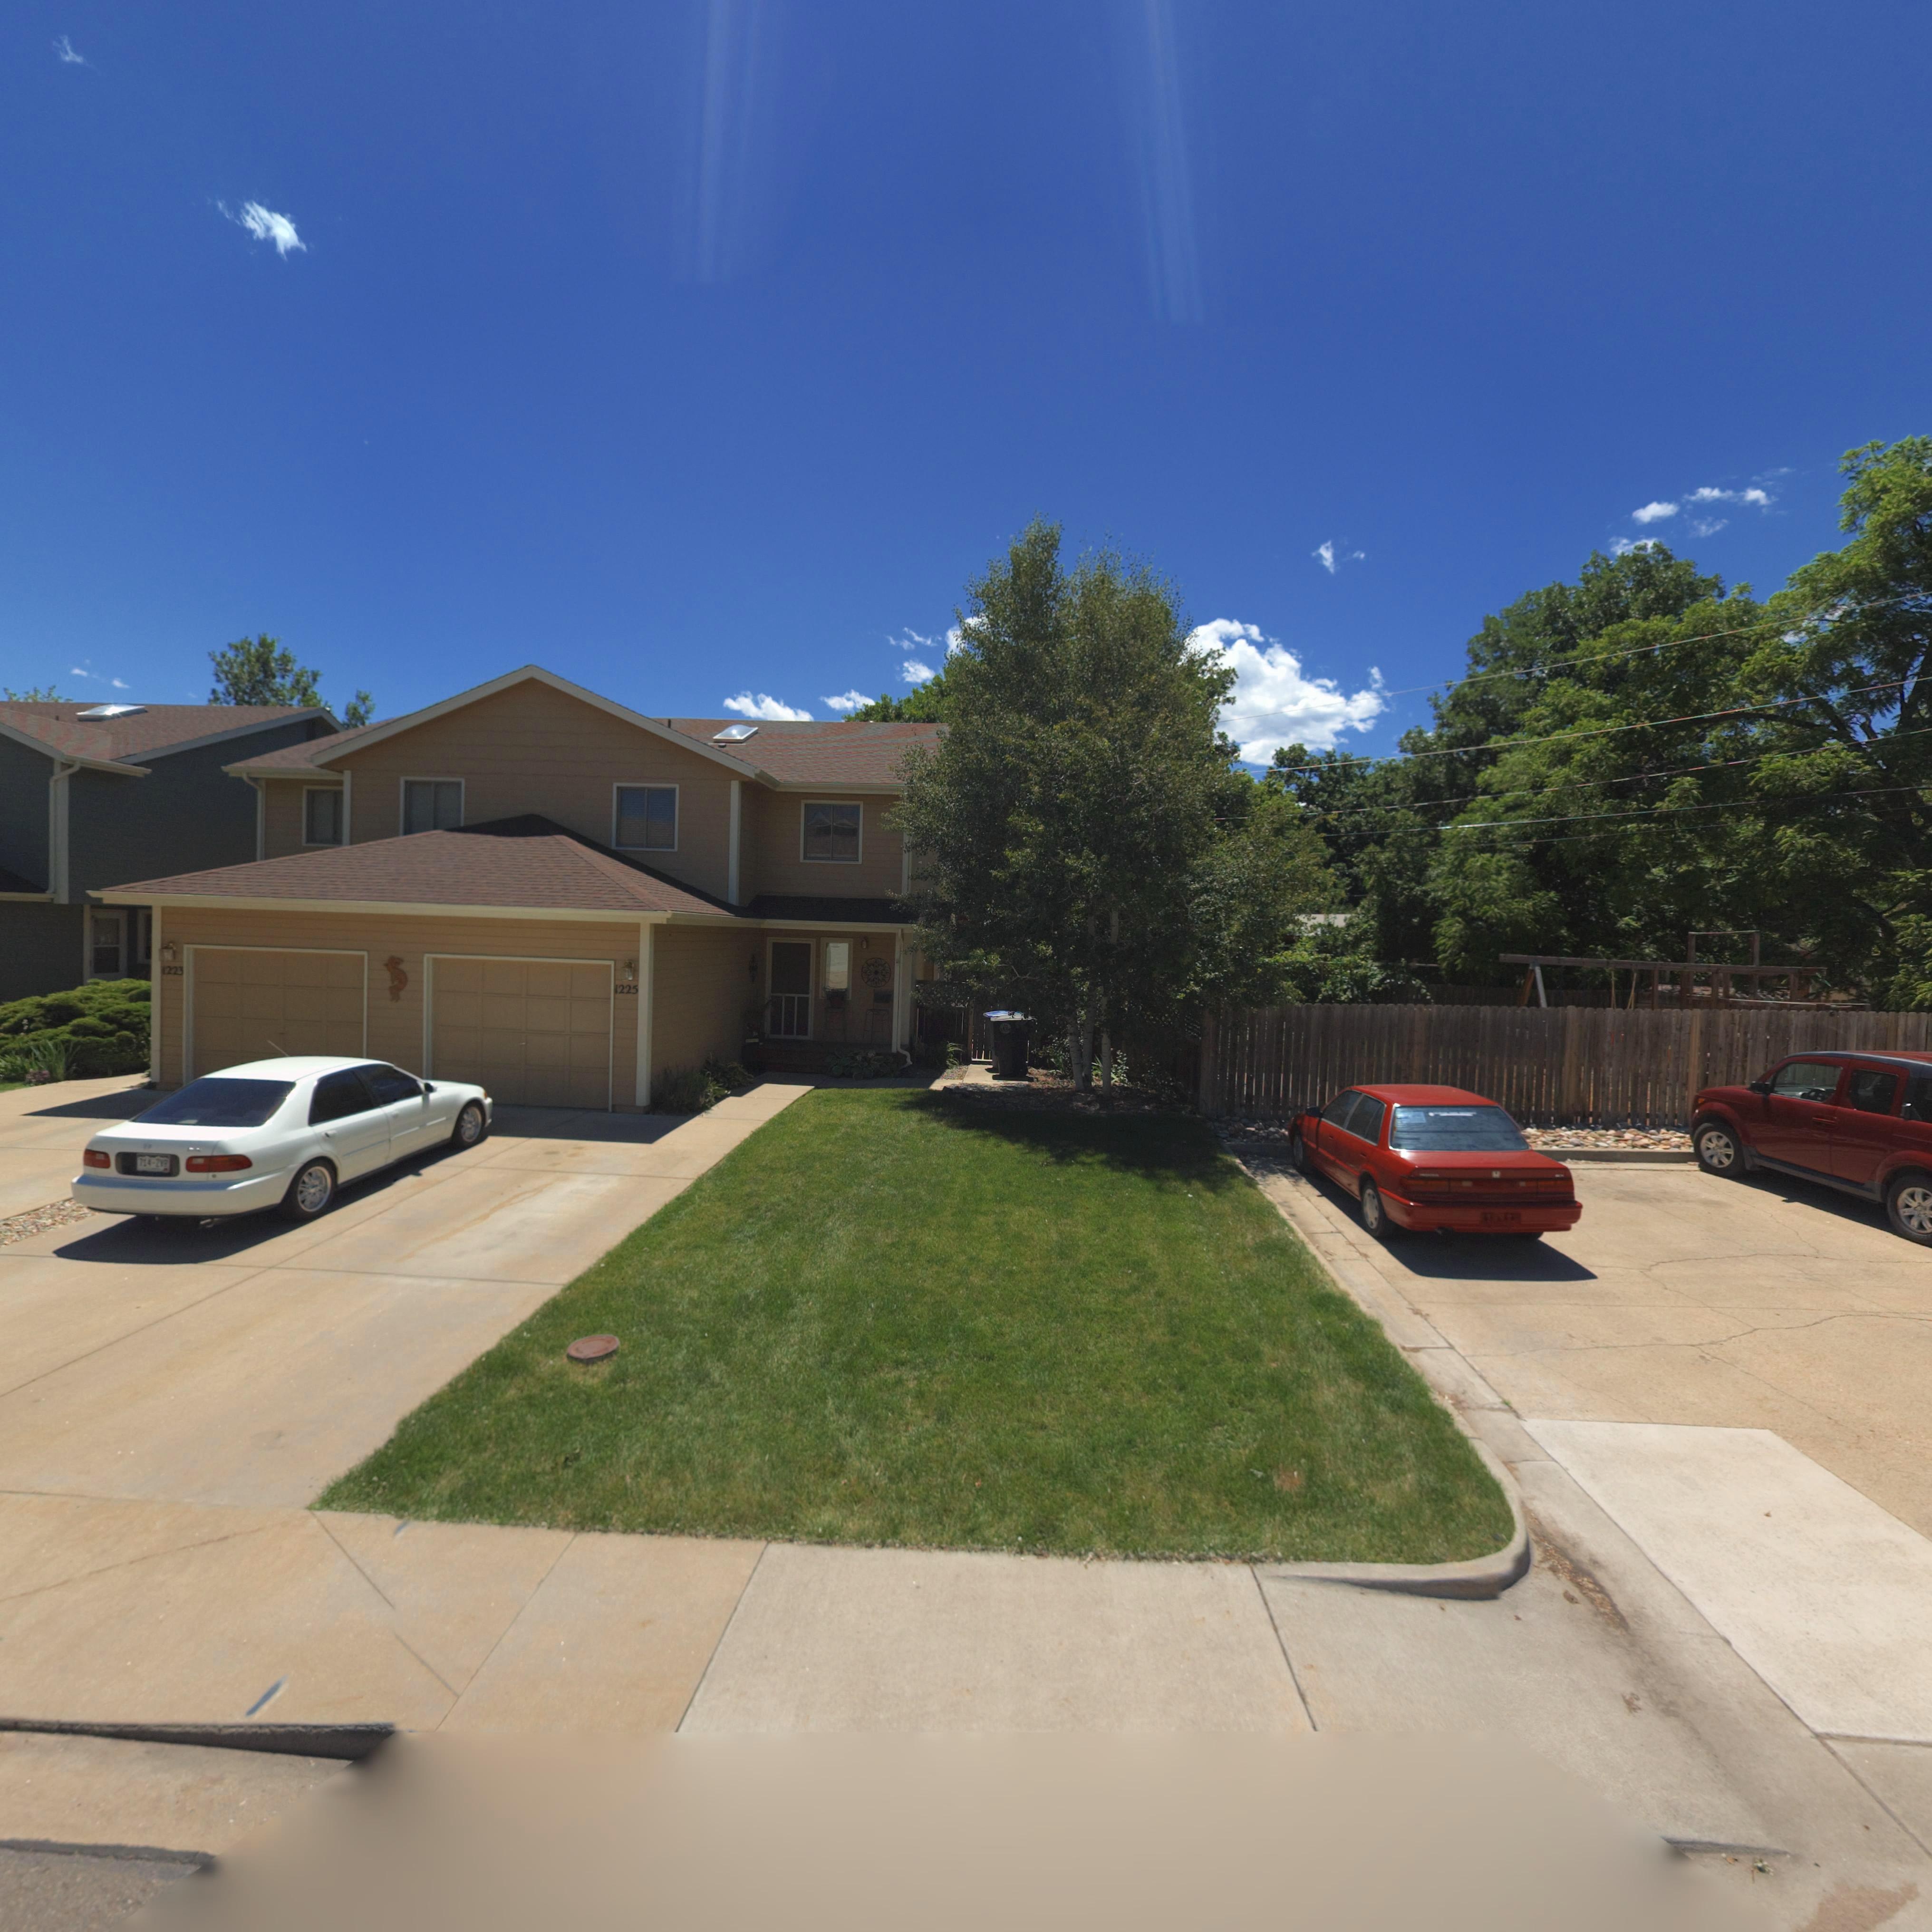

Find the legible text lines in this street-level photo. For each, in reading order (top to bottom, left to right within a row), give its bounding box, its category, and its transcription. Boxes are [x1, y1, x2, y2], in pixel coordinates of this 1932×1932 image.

[161, 965, 184, 976] StreetNumber: 1223
[615, 984, 638, 995] StreetNumber: 1225